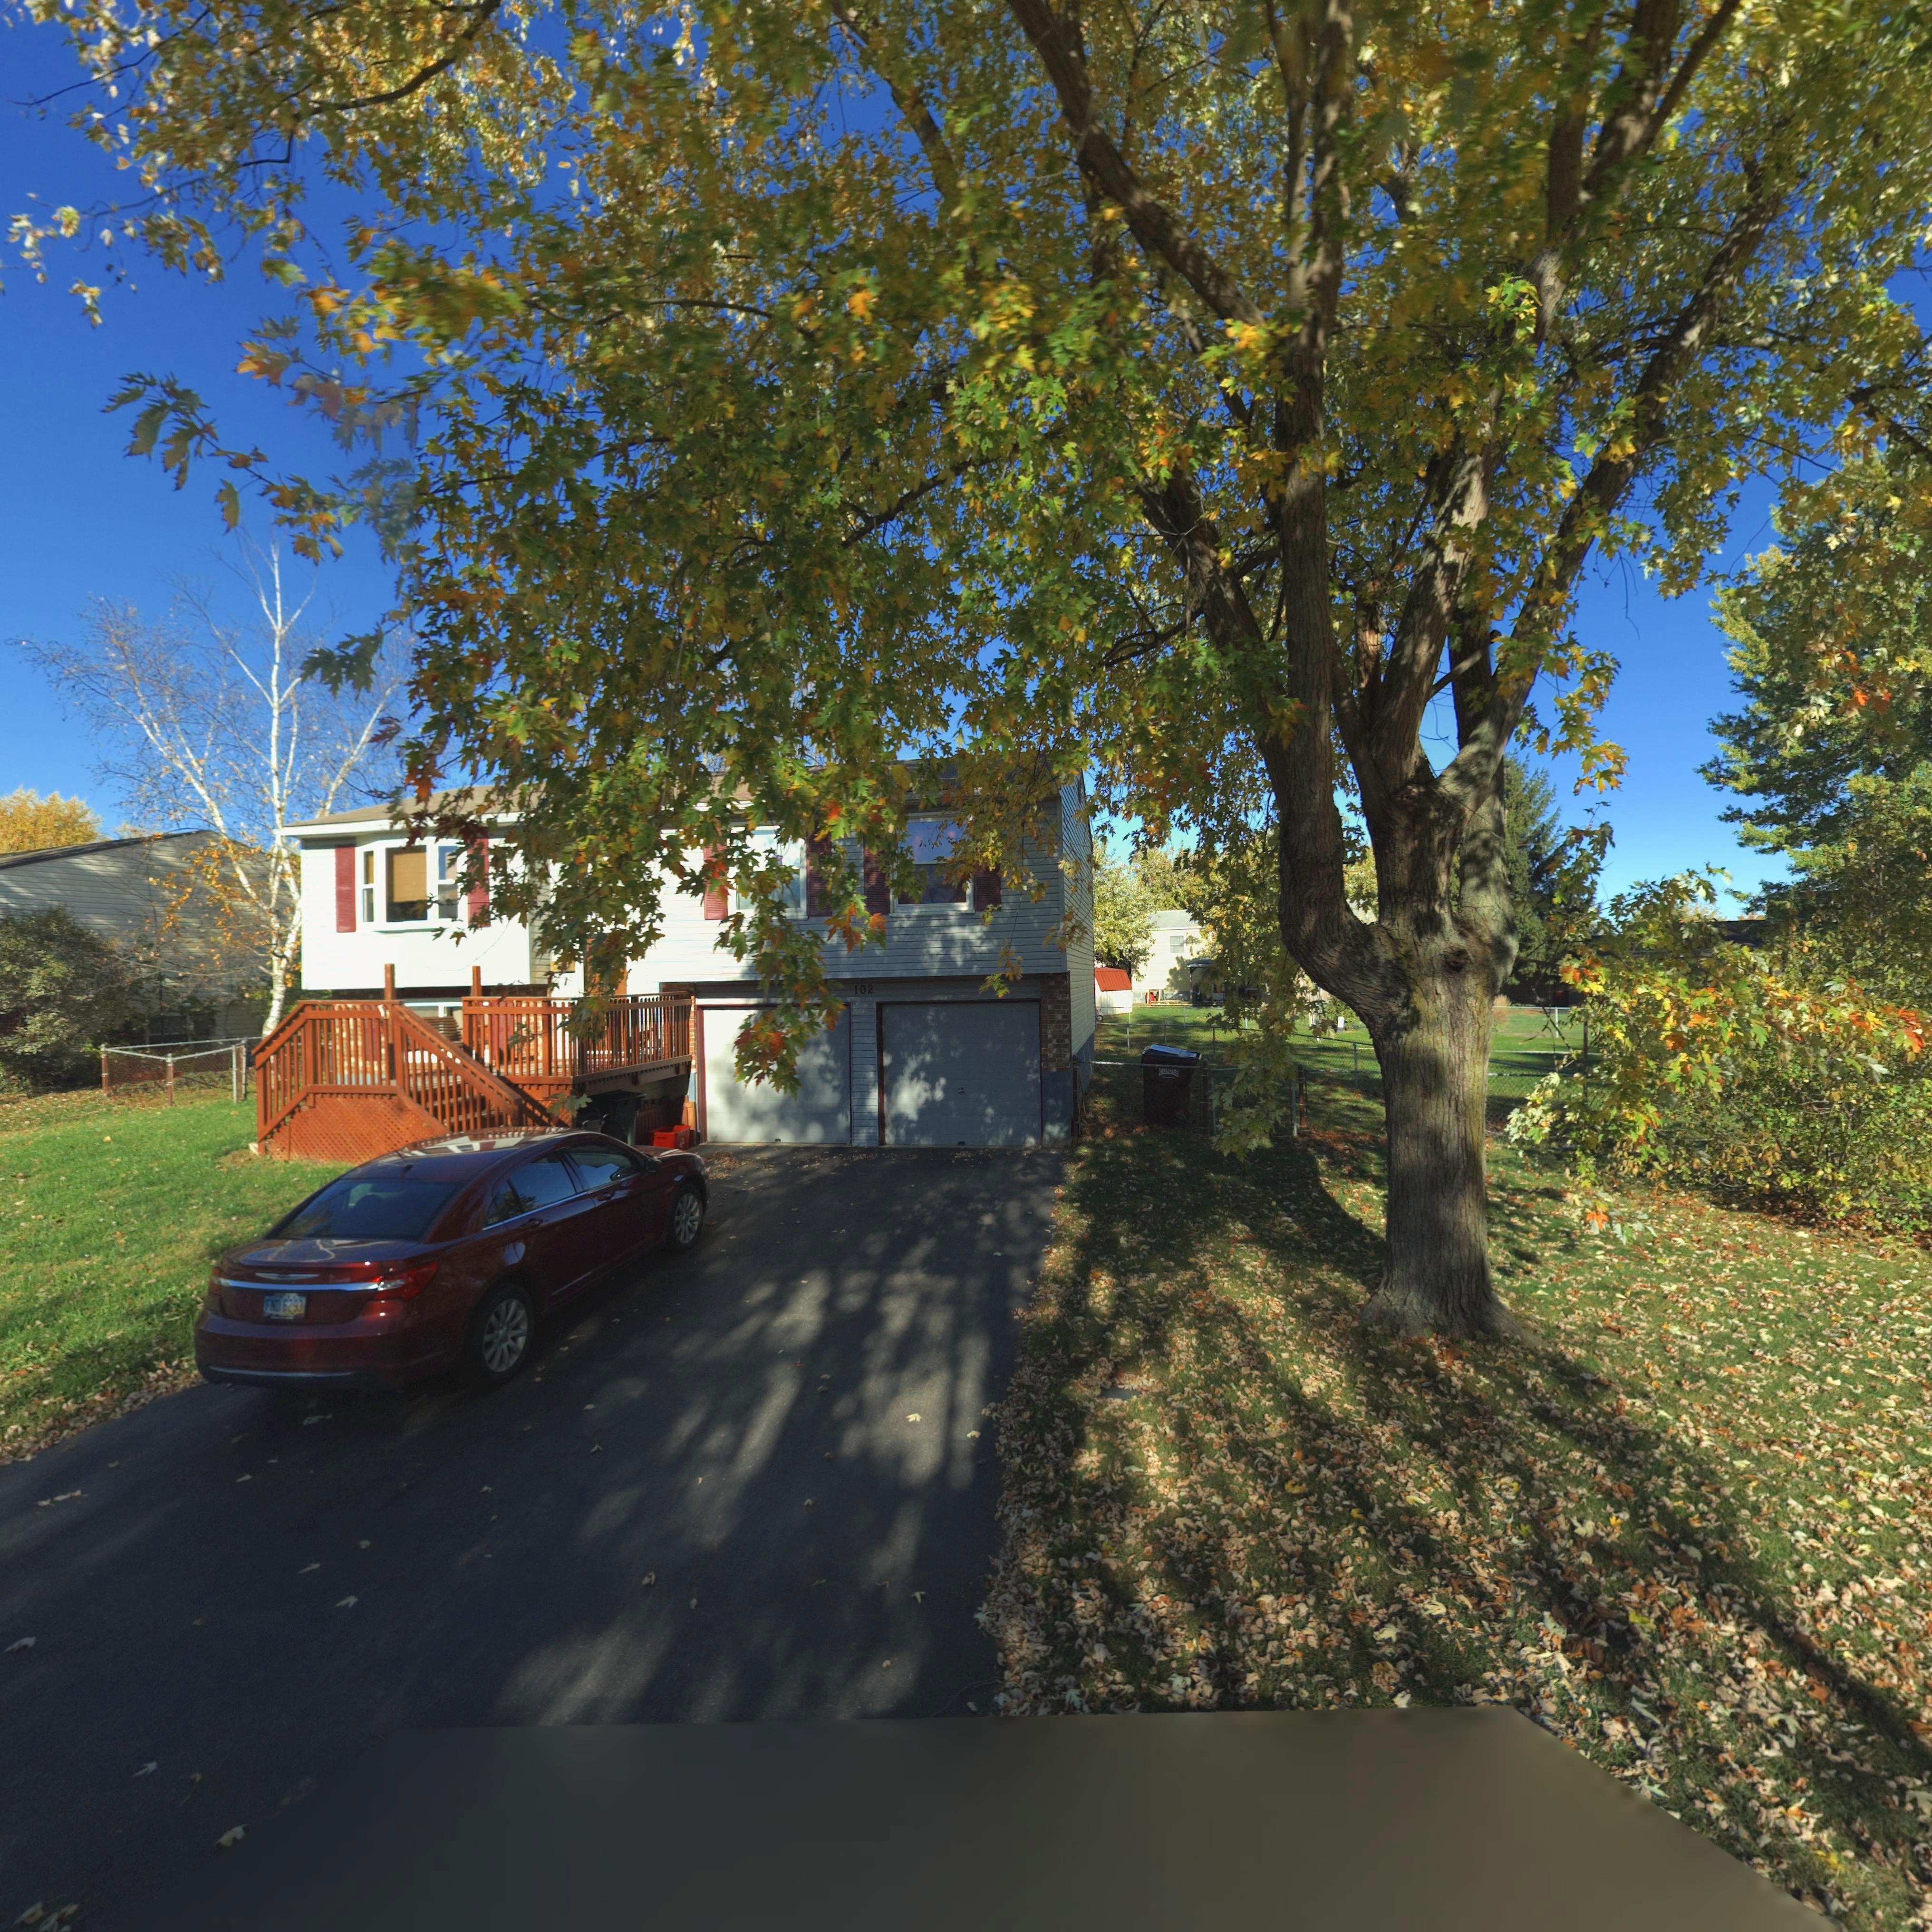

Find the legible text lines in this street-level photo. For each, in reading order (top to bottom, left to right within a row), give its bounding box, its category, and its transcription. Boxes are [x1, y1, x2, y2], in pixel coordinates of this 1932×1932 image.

[854, 984, 874, 995] StreetNumber: 102